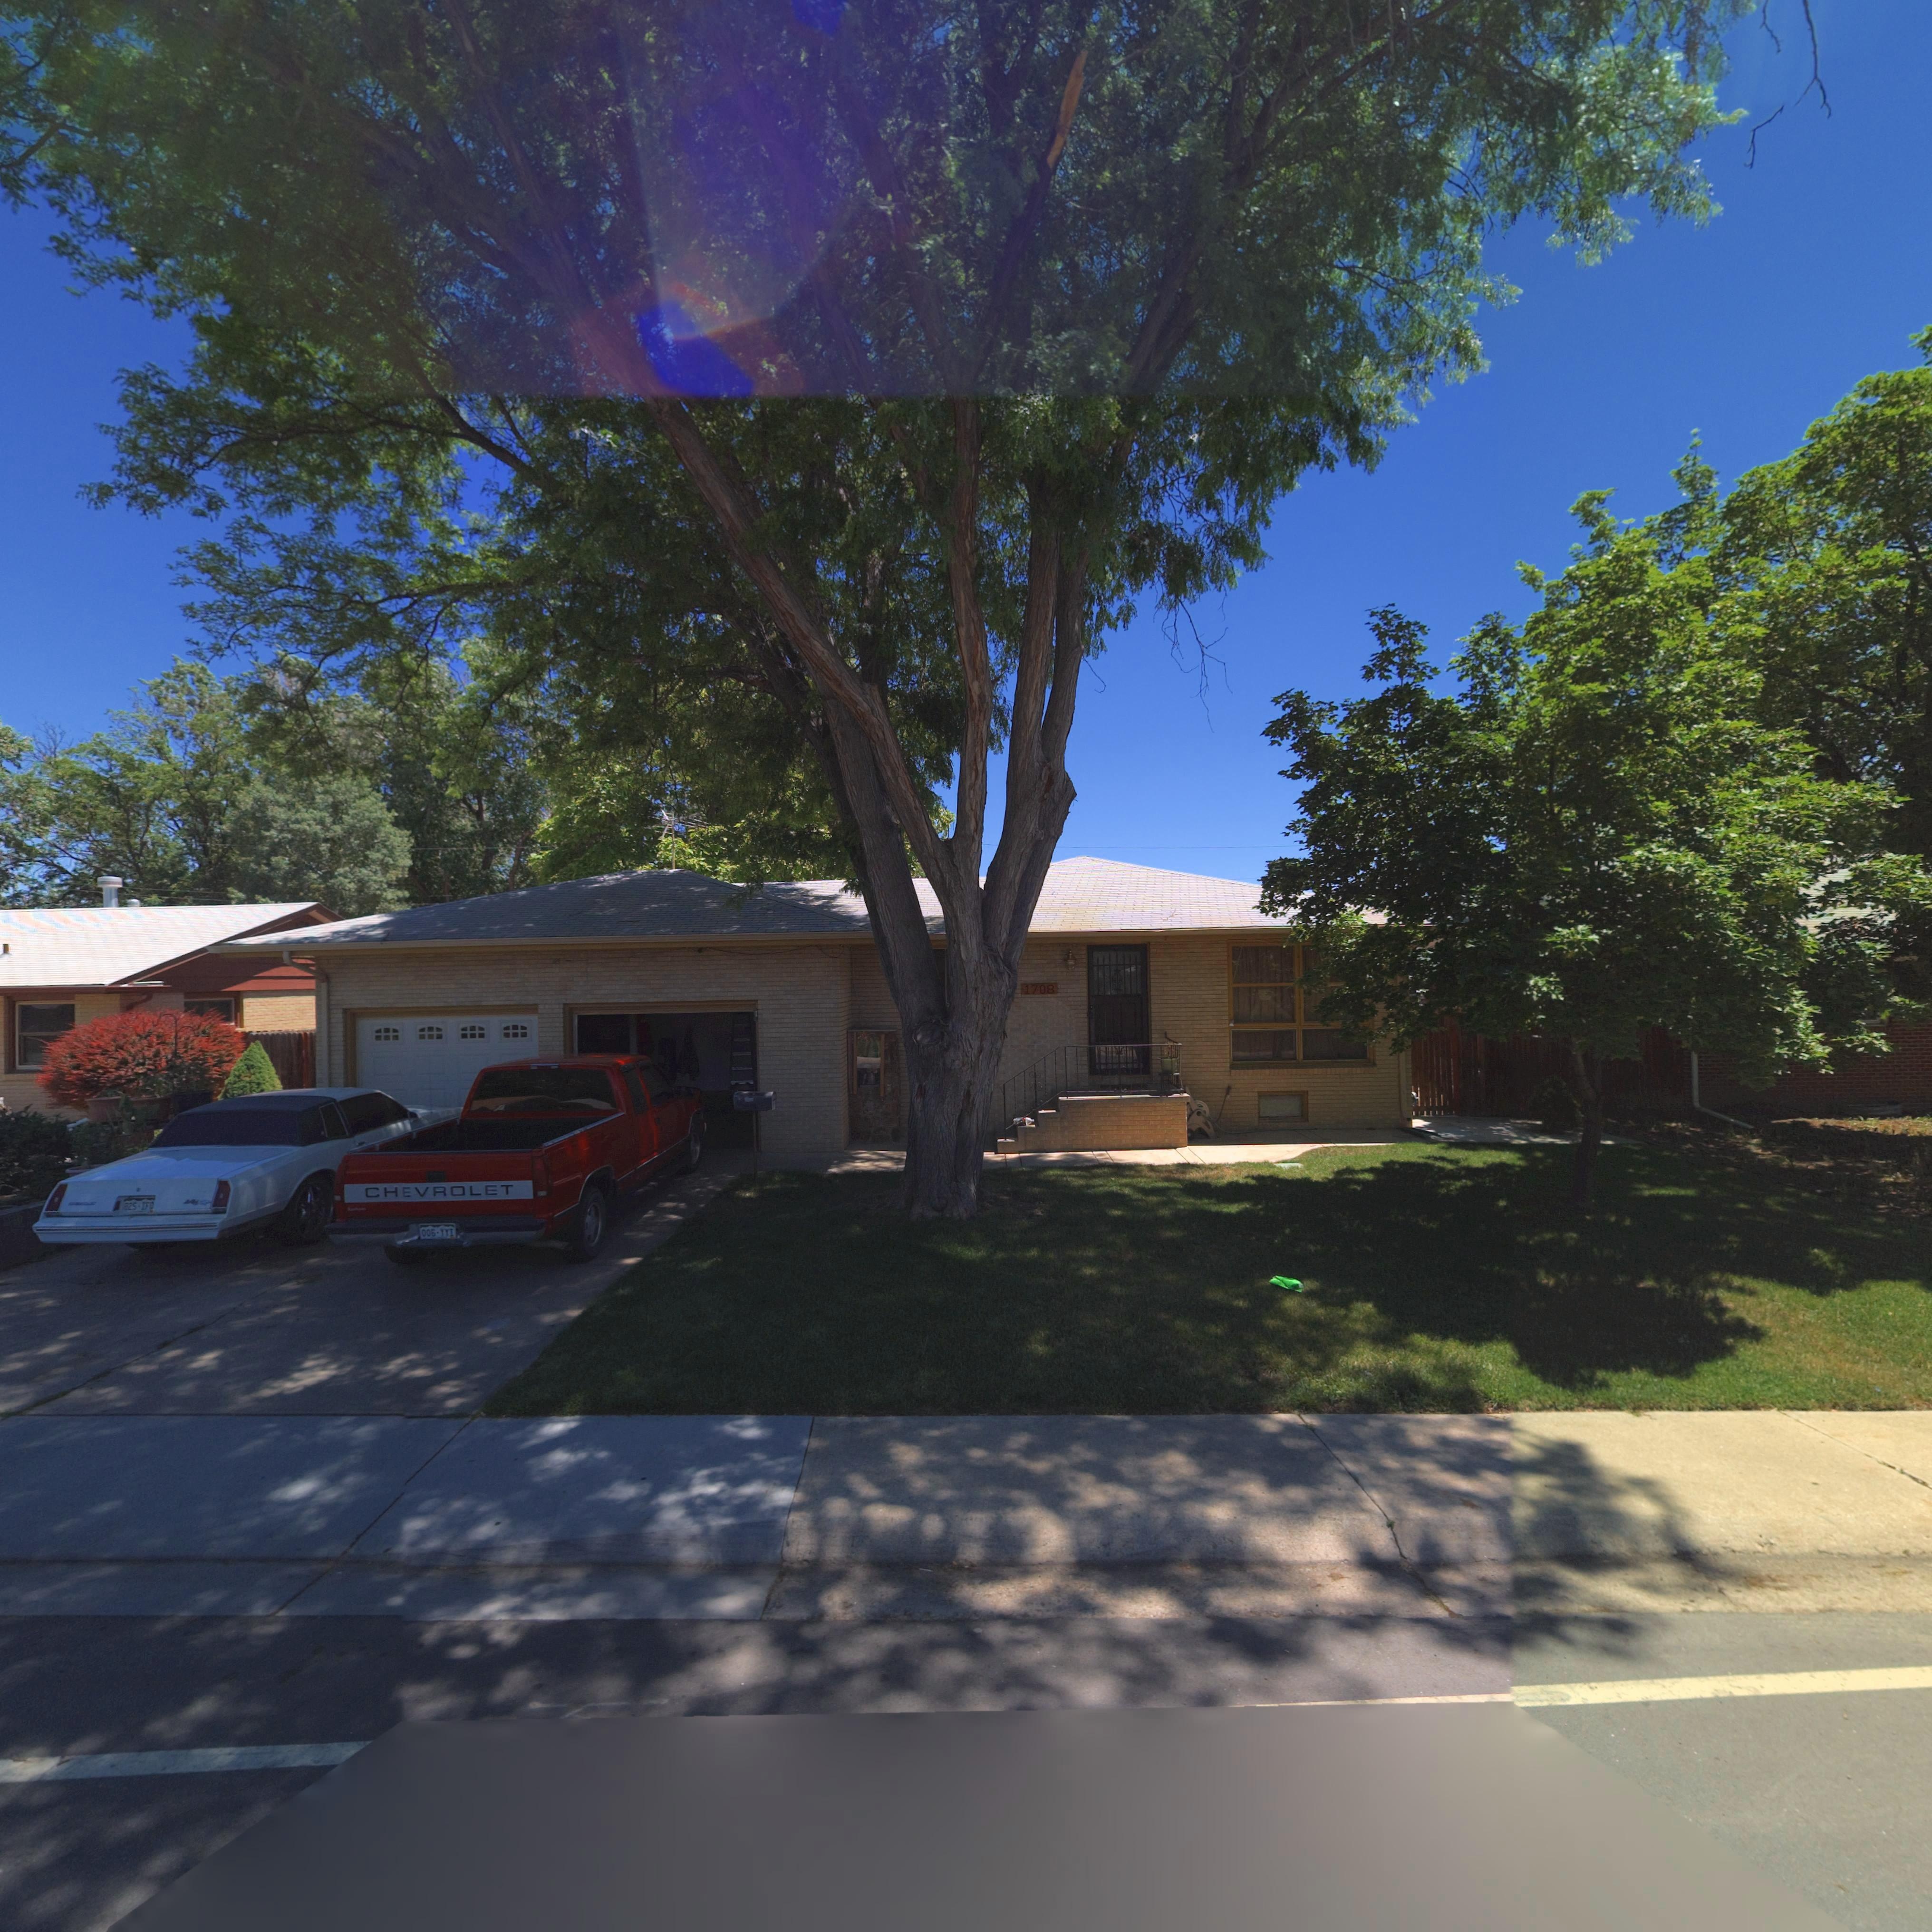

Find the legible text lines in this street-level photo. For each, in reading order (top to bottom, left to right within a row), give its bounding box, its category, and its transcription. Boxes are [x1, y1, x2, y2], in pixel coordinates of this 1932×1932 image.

[1024, 984, 1054, 994] StreetNumber: 1708